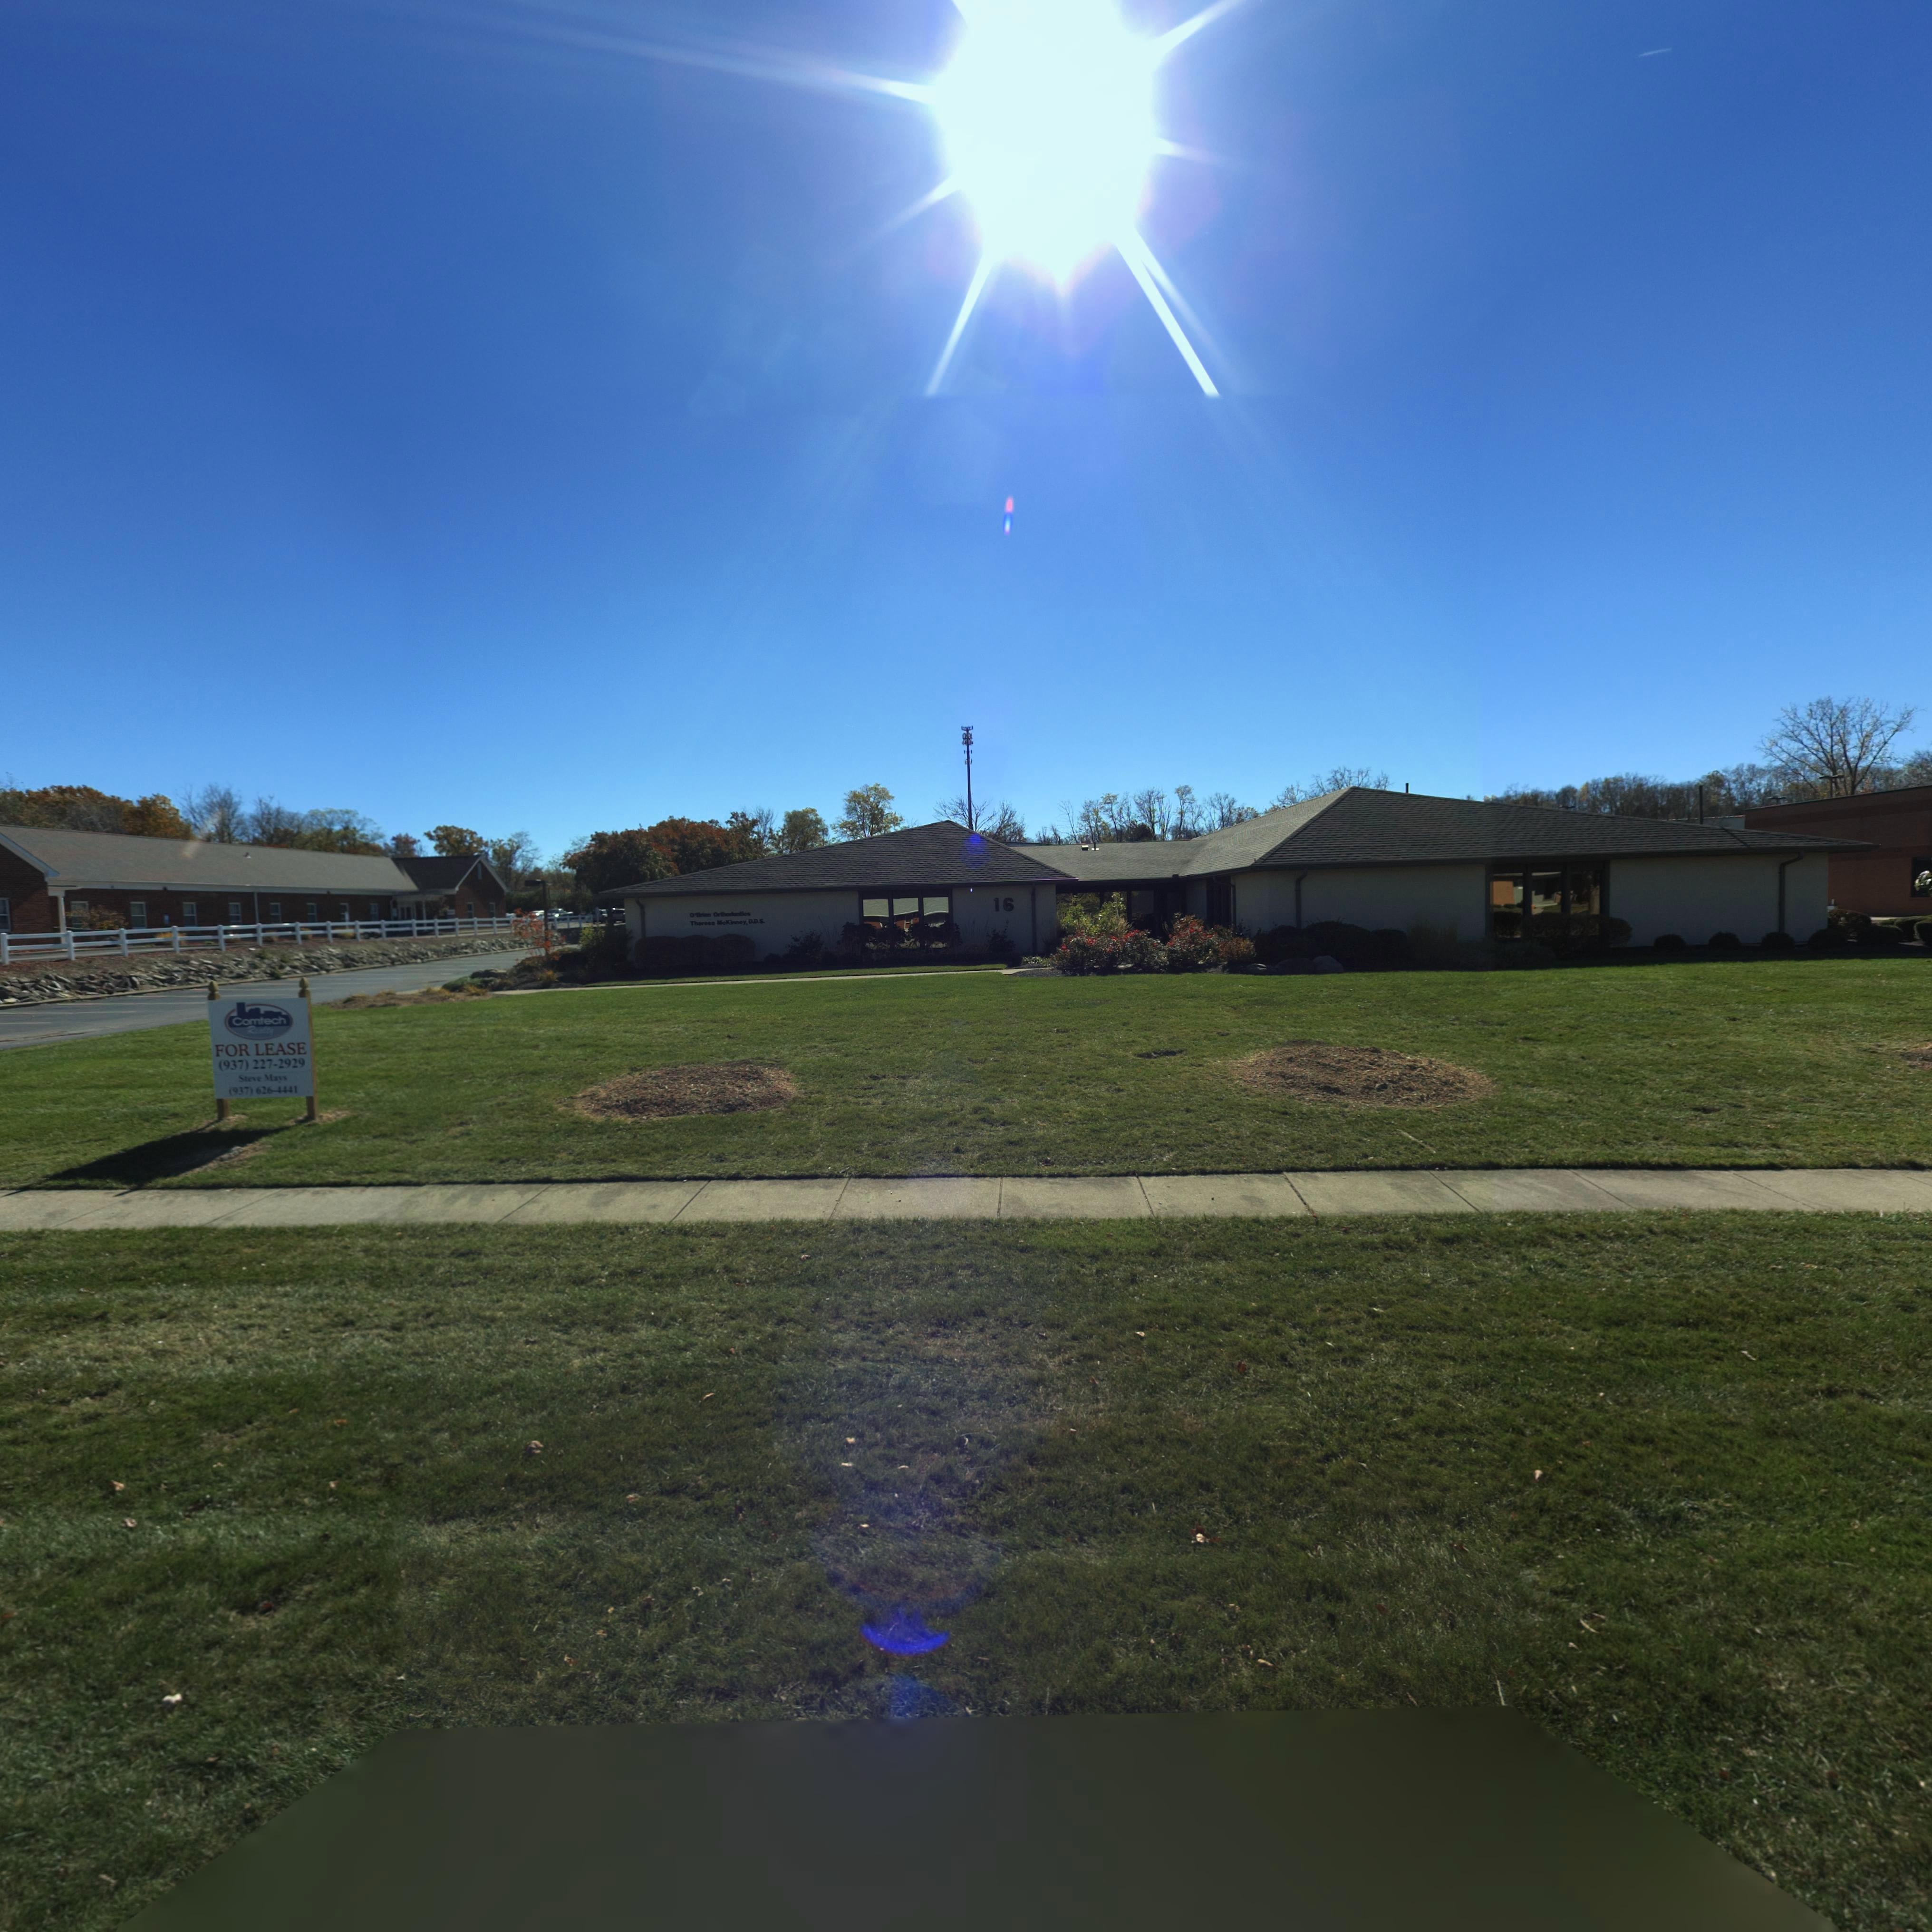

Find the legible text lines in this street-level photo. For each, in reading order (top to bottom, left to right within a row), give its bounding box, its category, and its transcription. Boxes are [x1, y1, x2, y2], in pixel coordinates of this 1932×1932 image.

[993, 896, 1015, 913] StreetNumber: 16
[689, 910, 752, 918] BusinessName: O'Brien Orthodontics
[689, 918, 766, 927] BusinessName: Theresa McKinney, D.D.S.